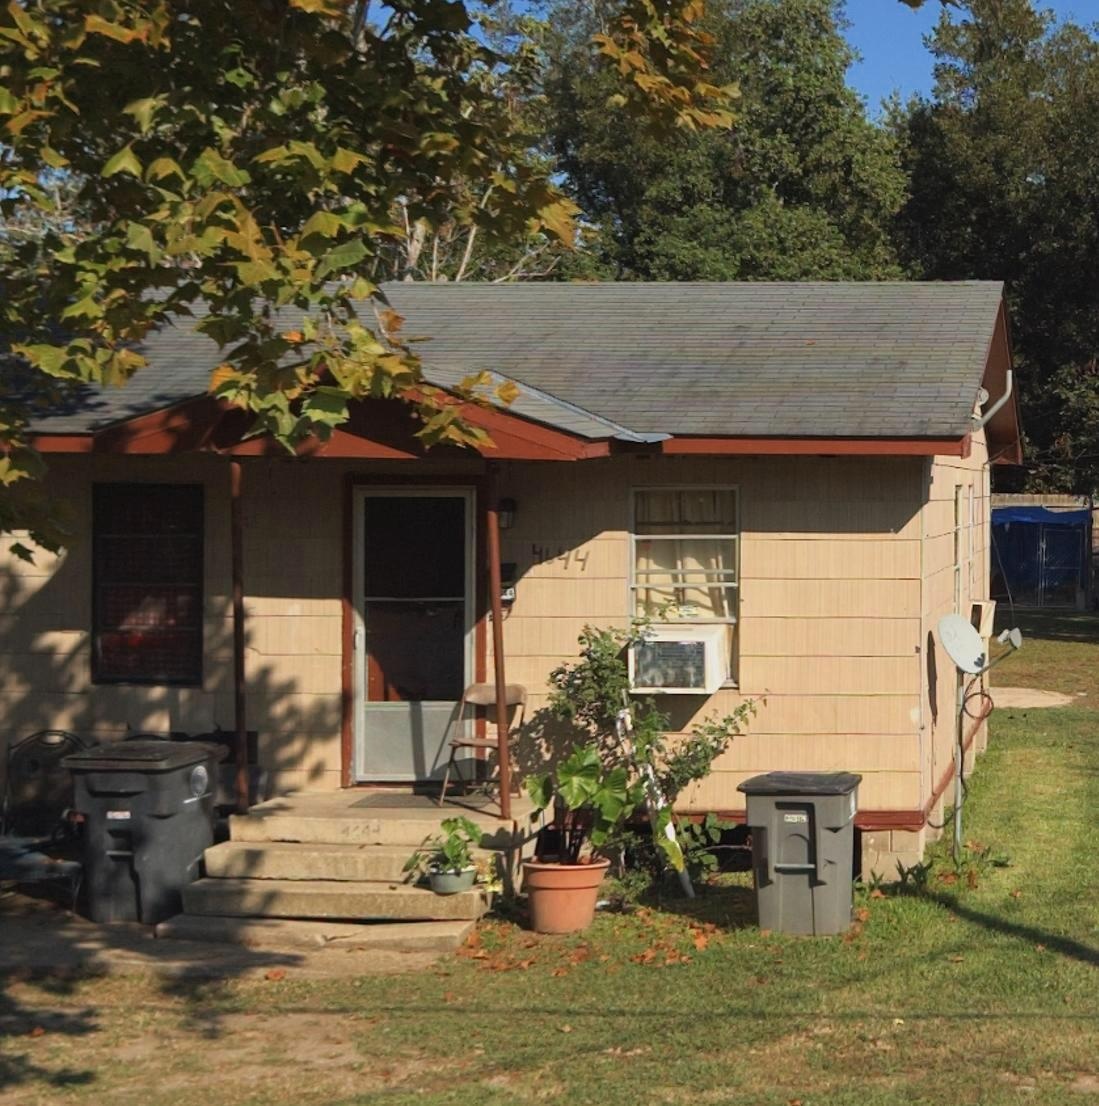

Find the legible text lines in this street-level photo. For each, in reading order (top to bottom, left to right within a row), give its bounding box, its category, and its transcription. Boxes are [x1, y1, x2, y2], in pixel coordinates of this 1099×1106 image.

[531, 542, 591, 573] StreetNumber: 4644